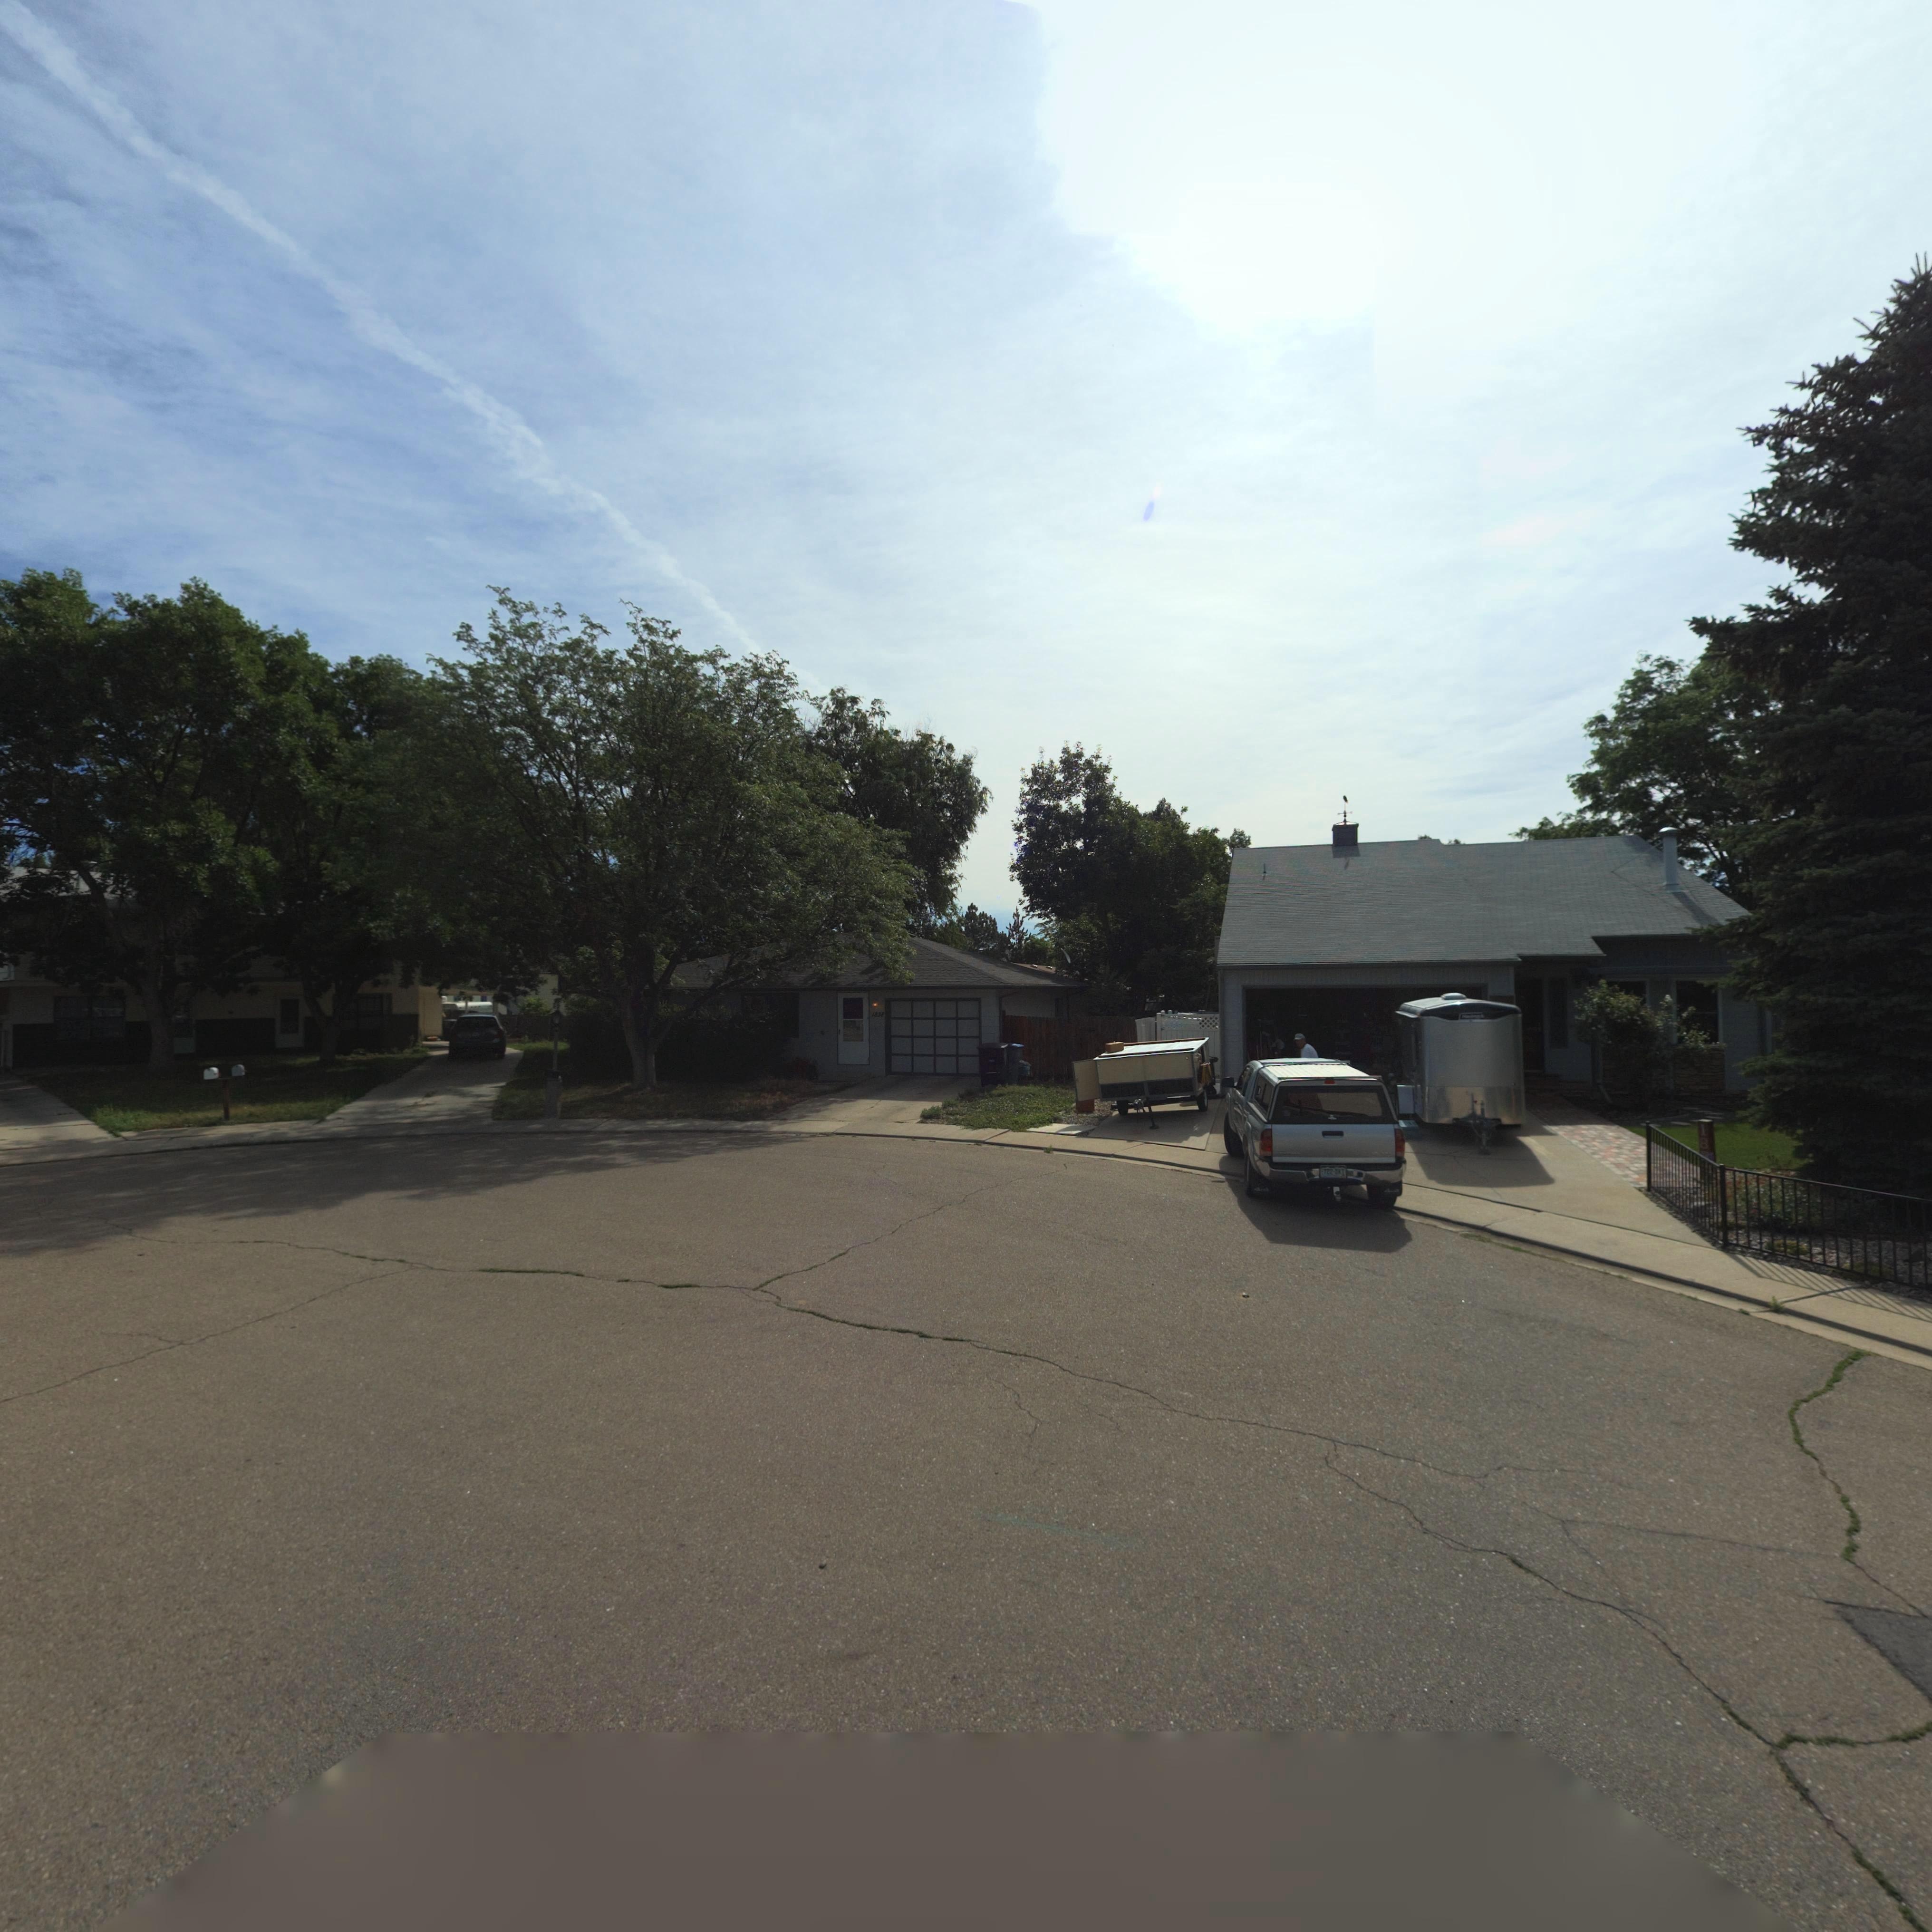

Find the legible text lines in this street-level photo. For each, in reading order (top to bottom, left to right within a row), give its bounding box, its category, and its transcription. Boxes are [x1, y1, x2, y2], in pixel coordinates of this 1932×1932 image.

[871, 1011, 884, 1017] StreetNumber: 1838